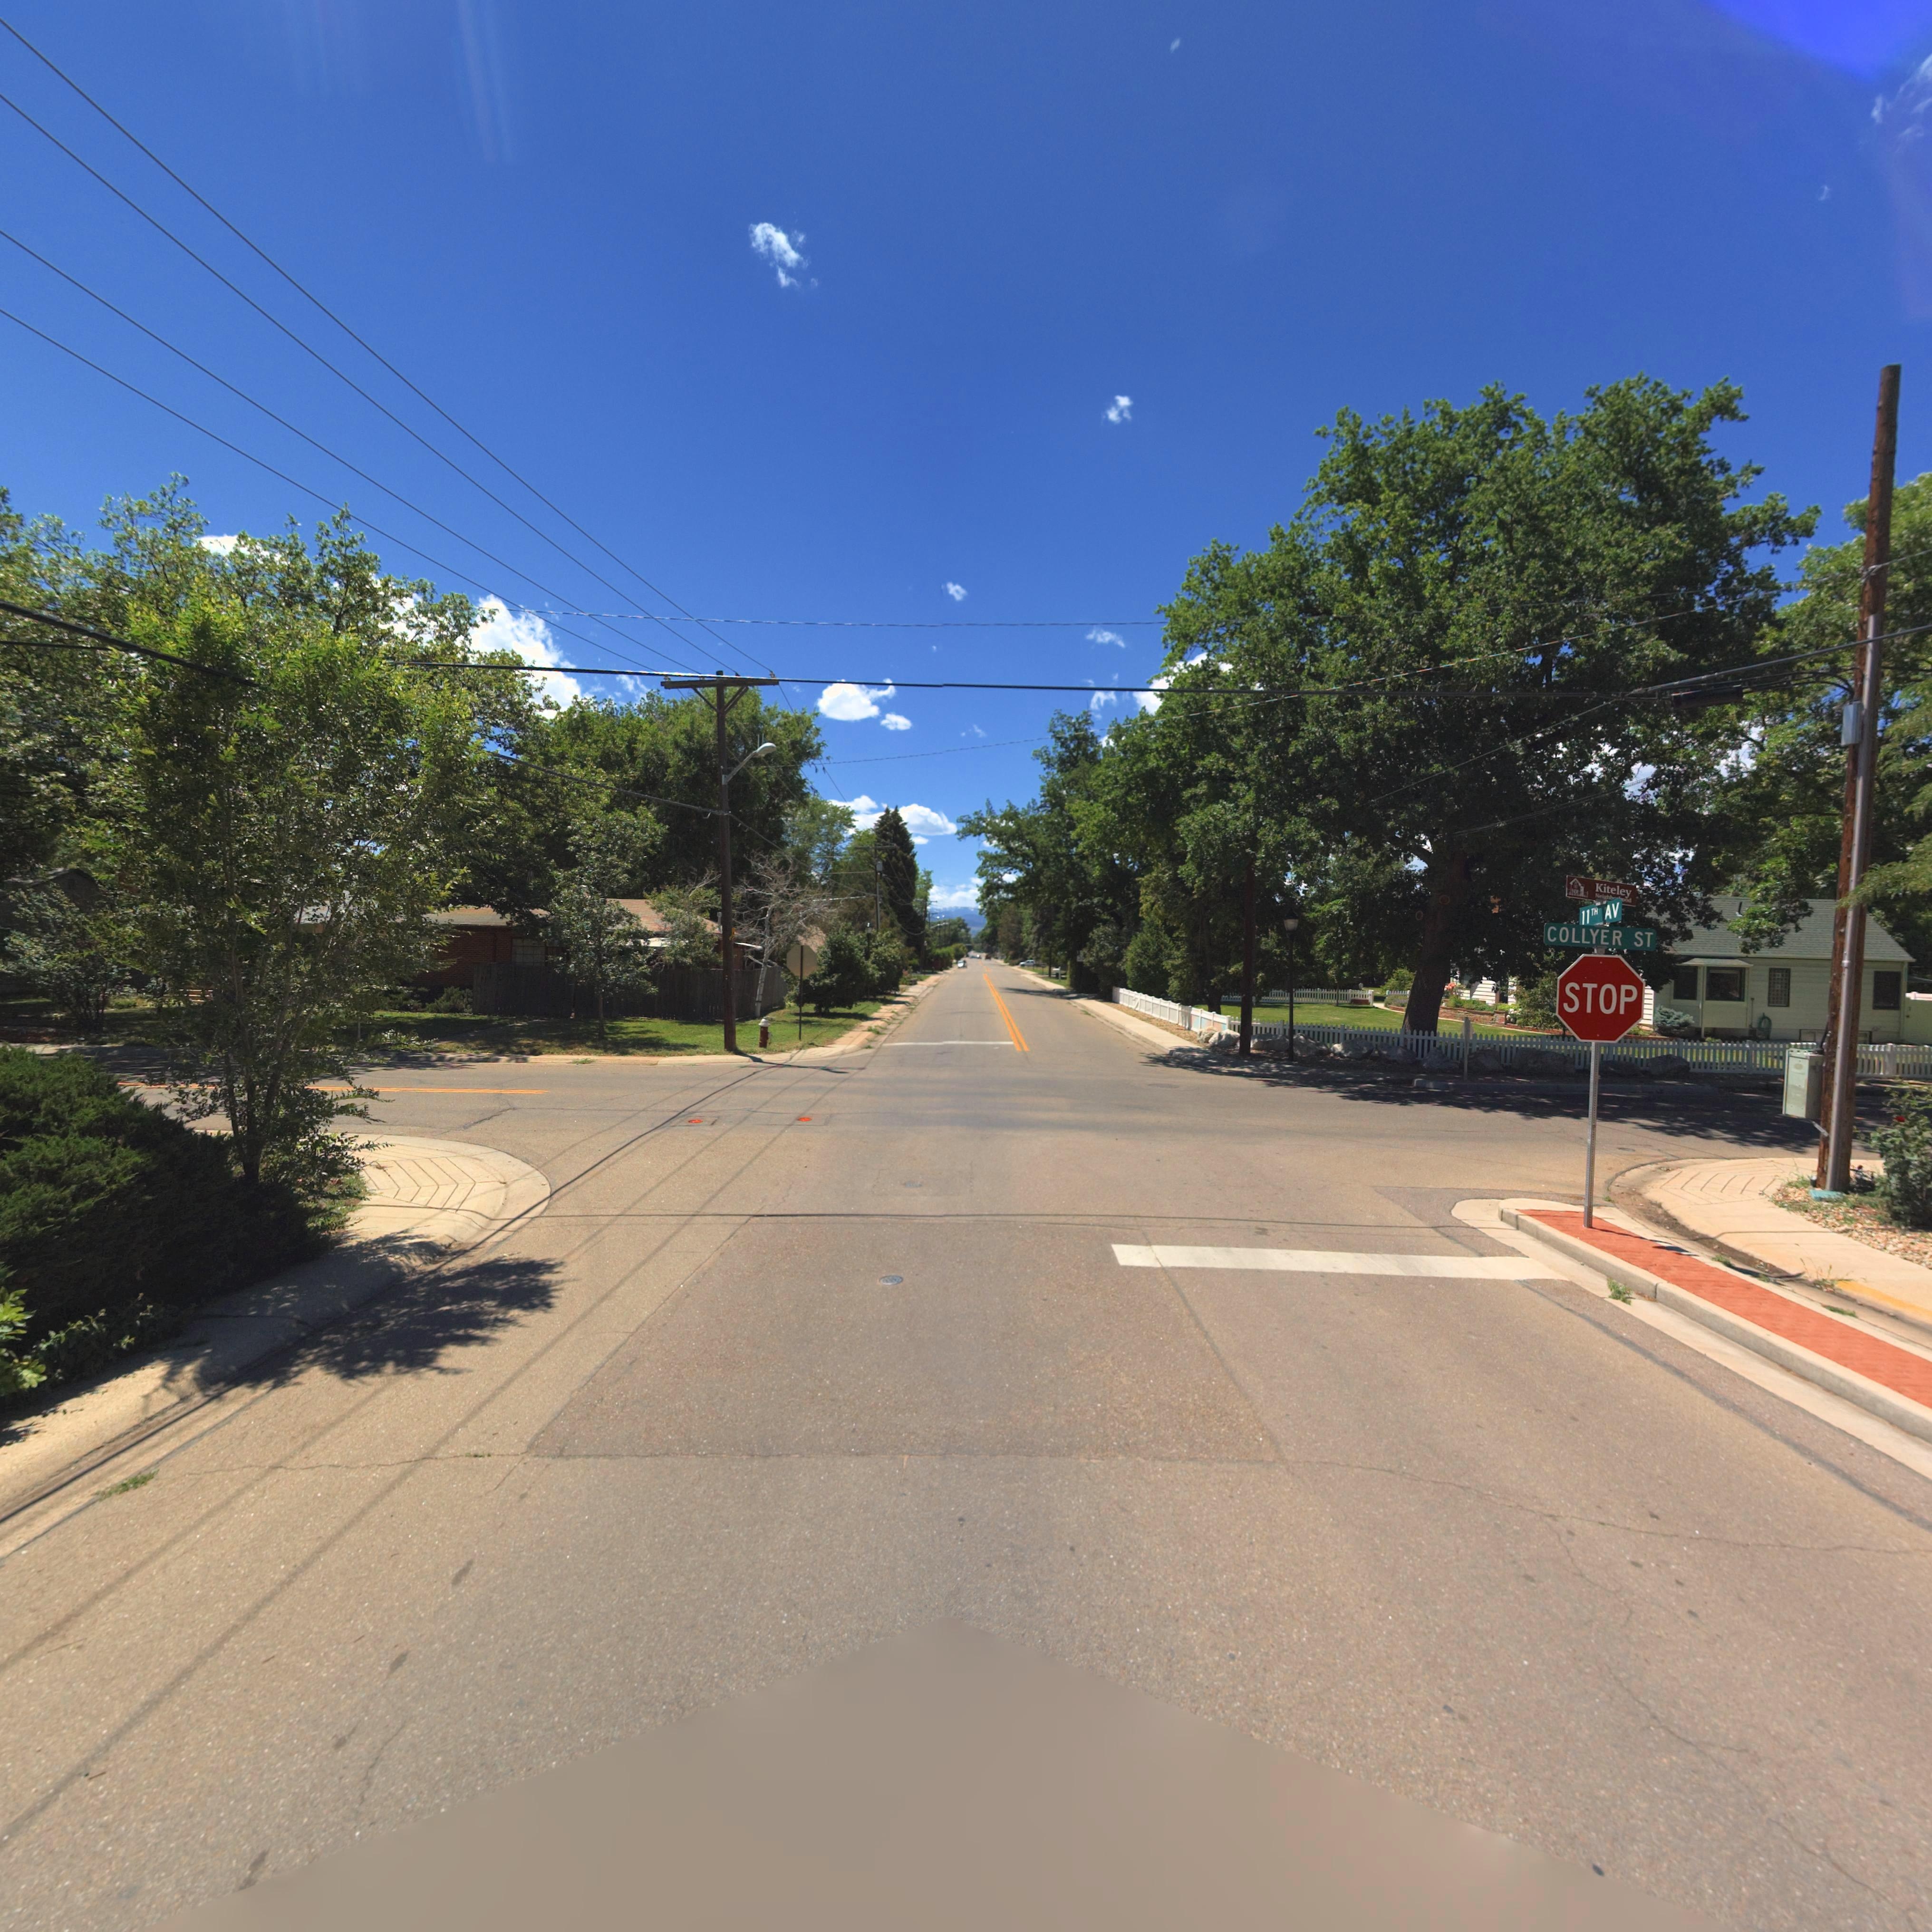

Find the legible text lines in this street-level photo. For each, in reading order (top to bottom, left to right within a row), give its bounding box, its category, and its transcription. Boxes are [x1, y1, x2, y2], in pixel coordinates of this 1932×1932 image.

[1581, 901, 1620, 925] StreetName: 11TH AV
[1546, 926, 1653, 947] StreetName: COLLYER ST